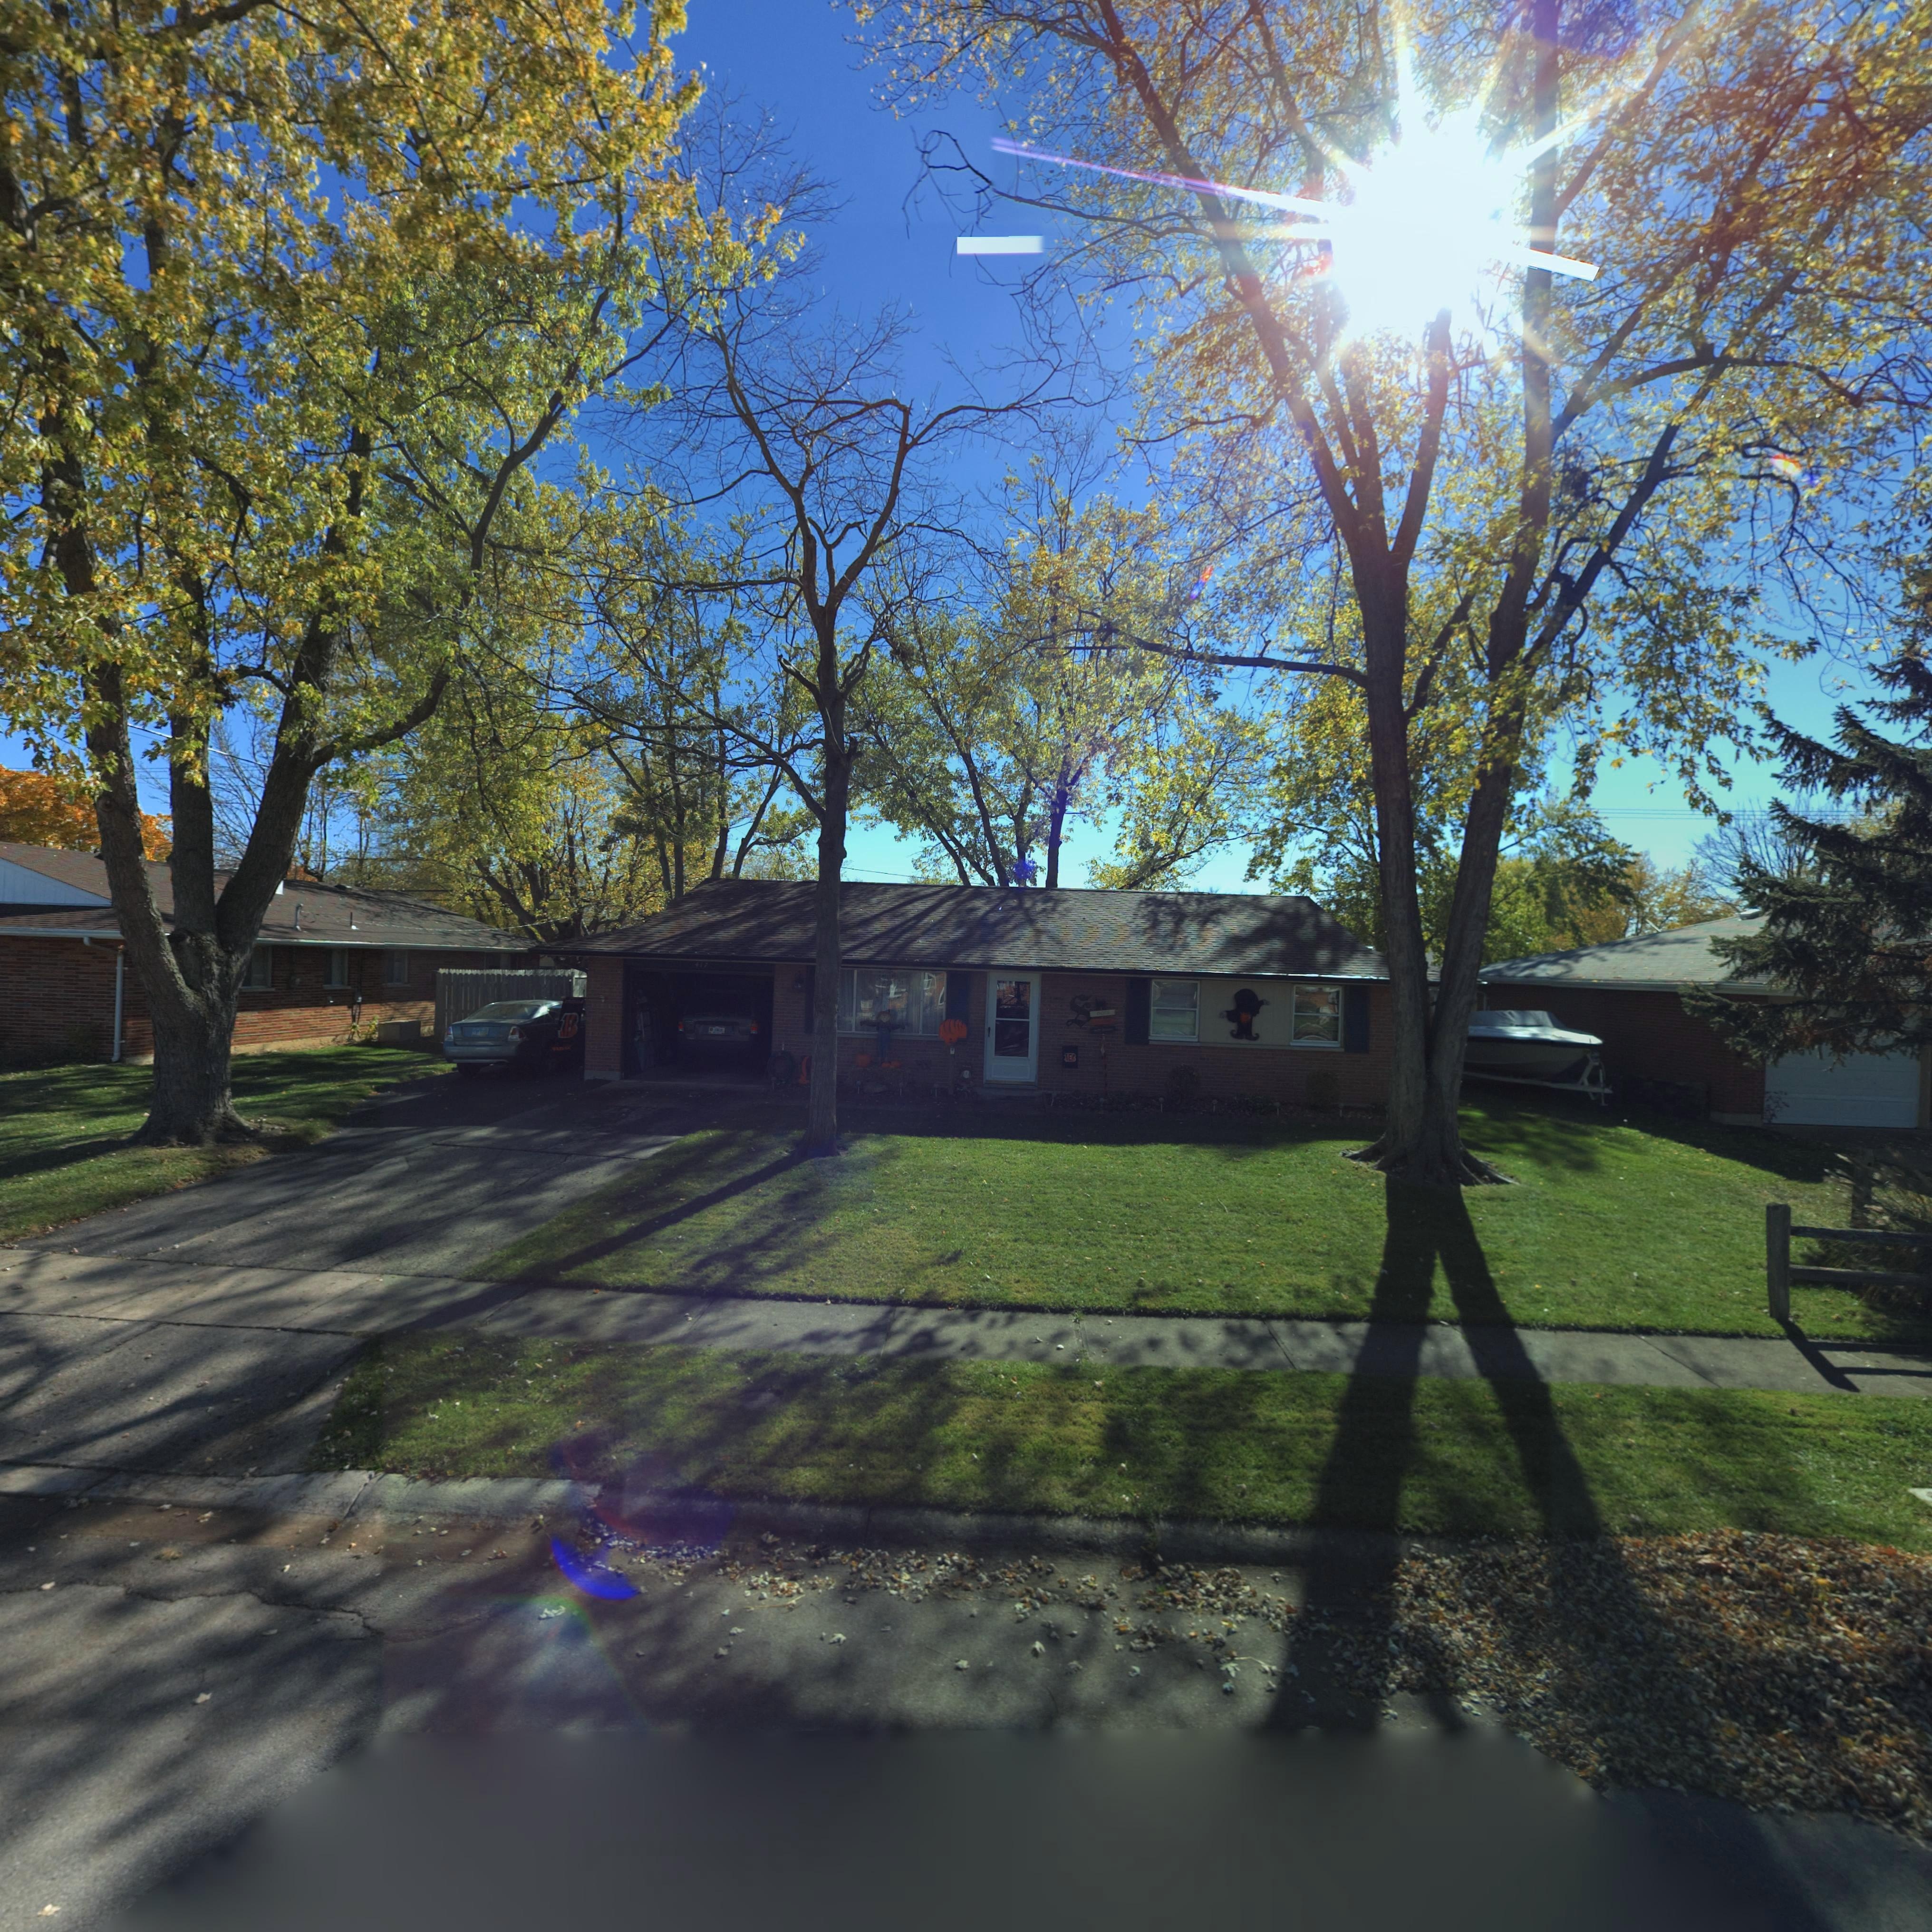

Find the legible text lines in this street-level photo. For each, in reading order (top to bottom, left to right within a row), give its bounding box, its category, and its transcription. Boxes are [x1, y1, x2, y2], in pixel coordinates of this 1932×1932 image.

[694, 961, 709, 969] StreetNumber: *17